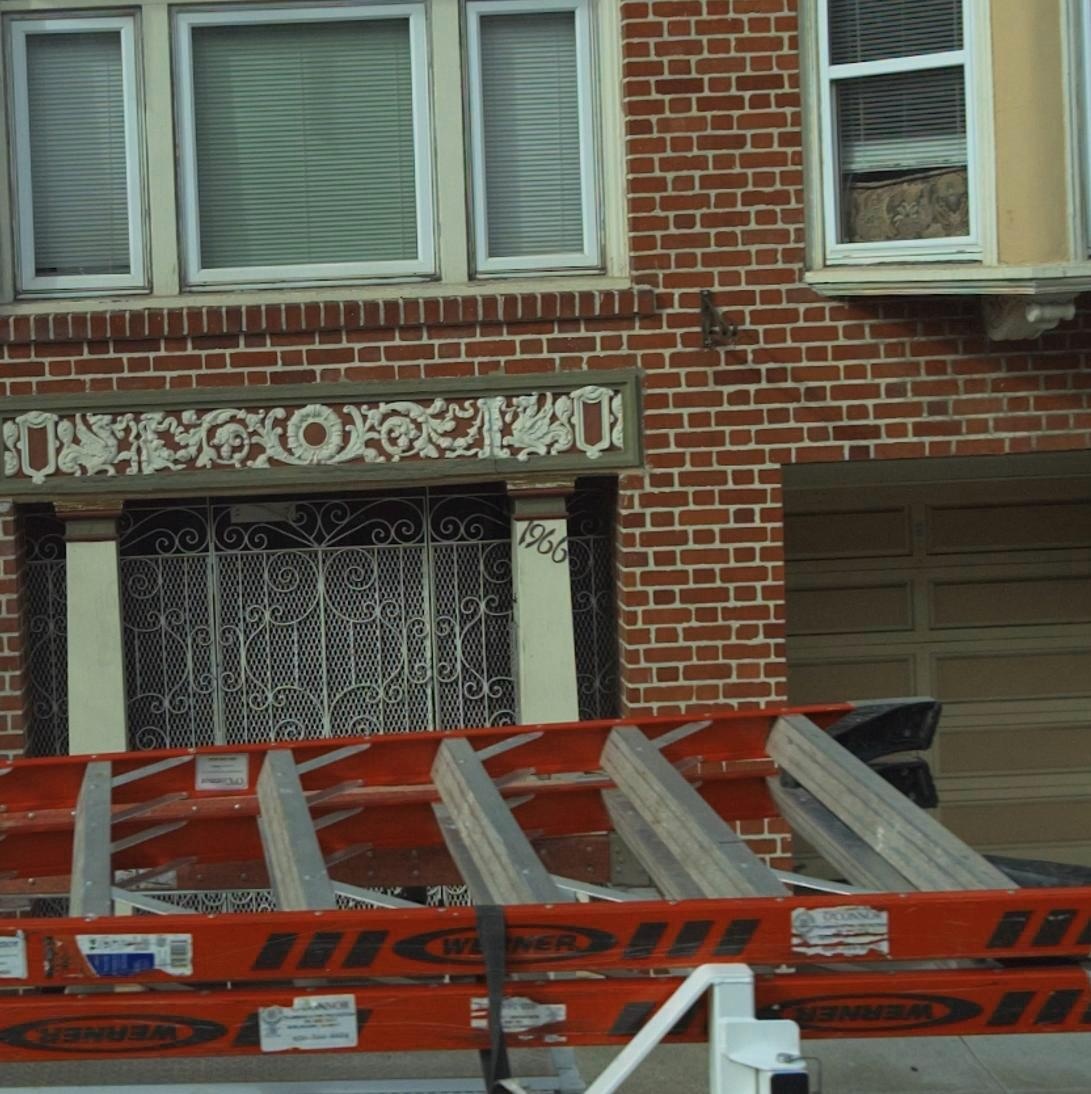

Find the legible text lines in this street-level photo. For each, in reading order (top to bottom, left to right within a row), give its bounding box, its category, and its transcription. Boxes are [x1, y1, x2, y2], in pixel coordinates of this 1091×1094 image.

[511, 513, 577, 571] StreetNumber: 1966
[439, 935, 475, 957] None: W
[506, 930, 581, 958] None: NER
[792, 1000, 936, 1025] None: **N***
[35, 1021, 179, 1047] None: **N***